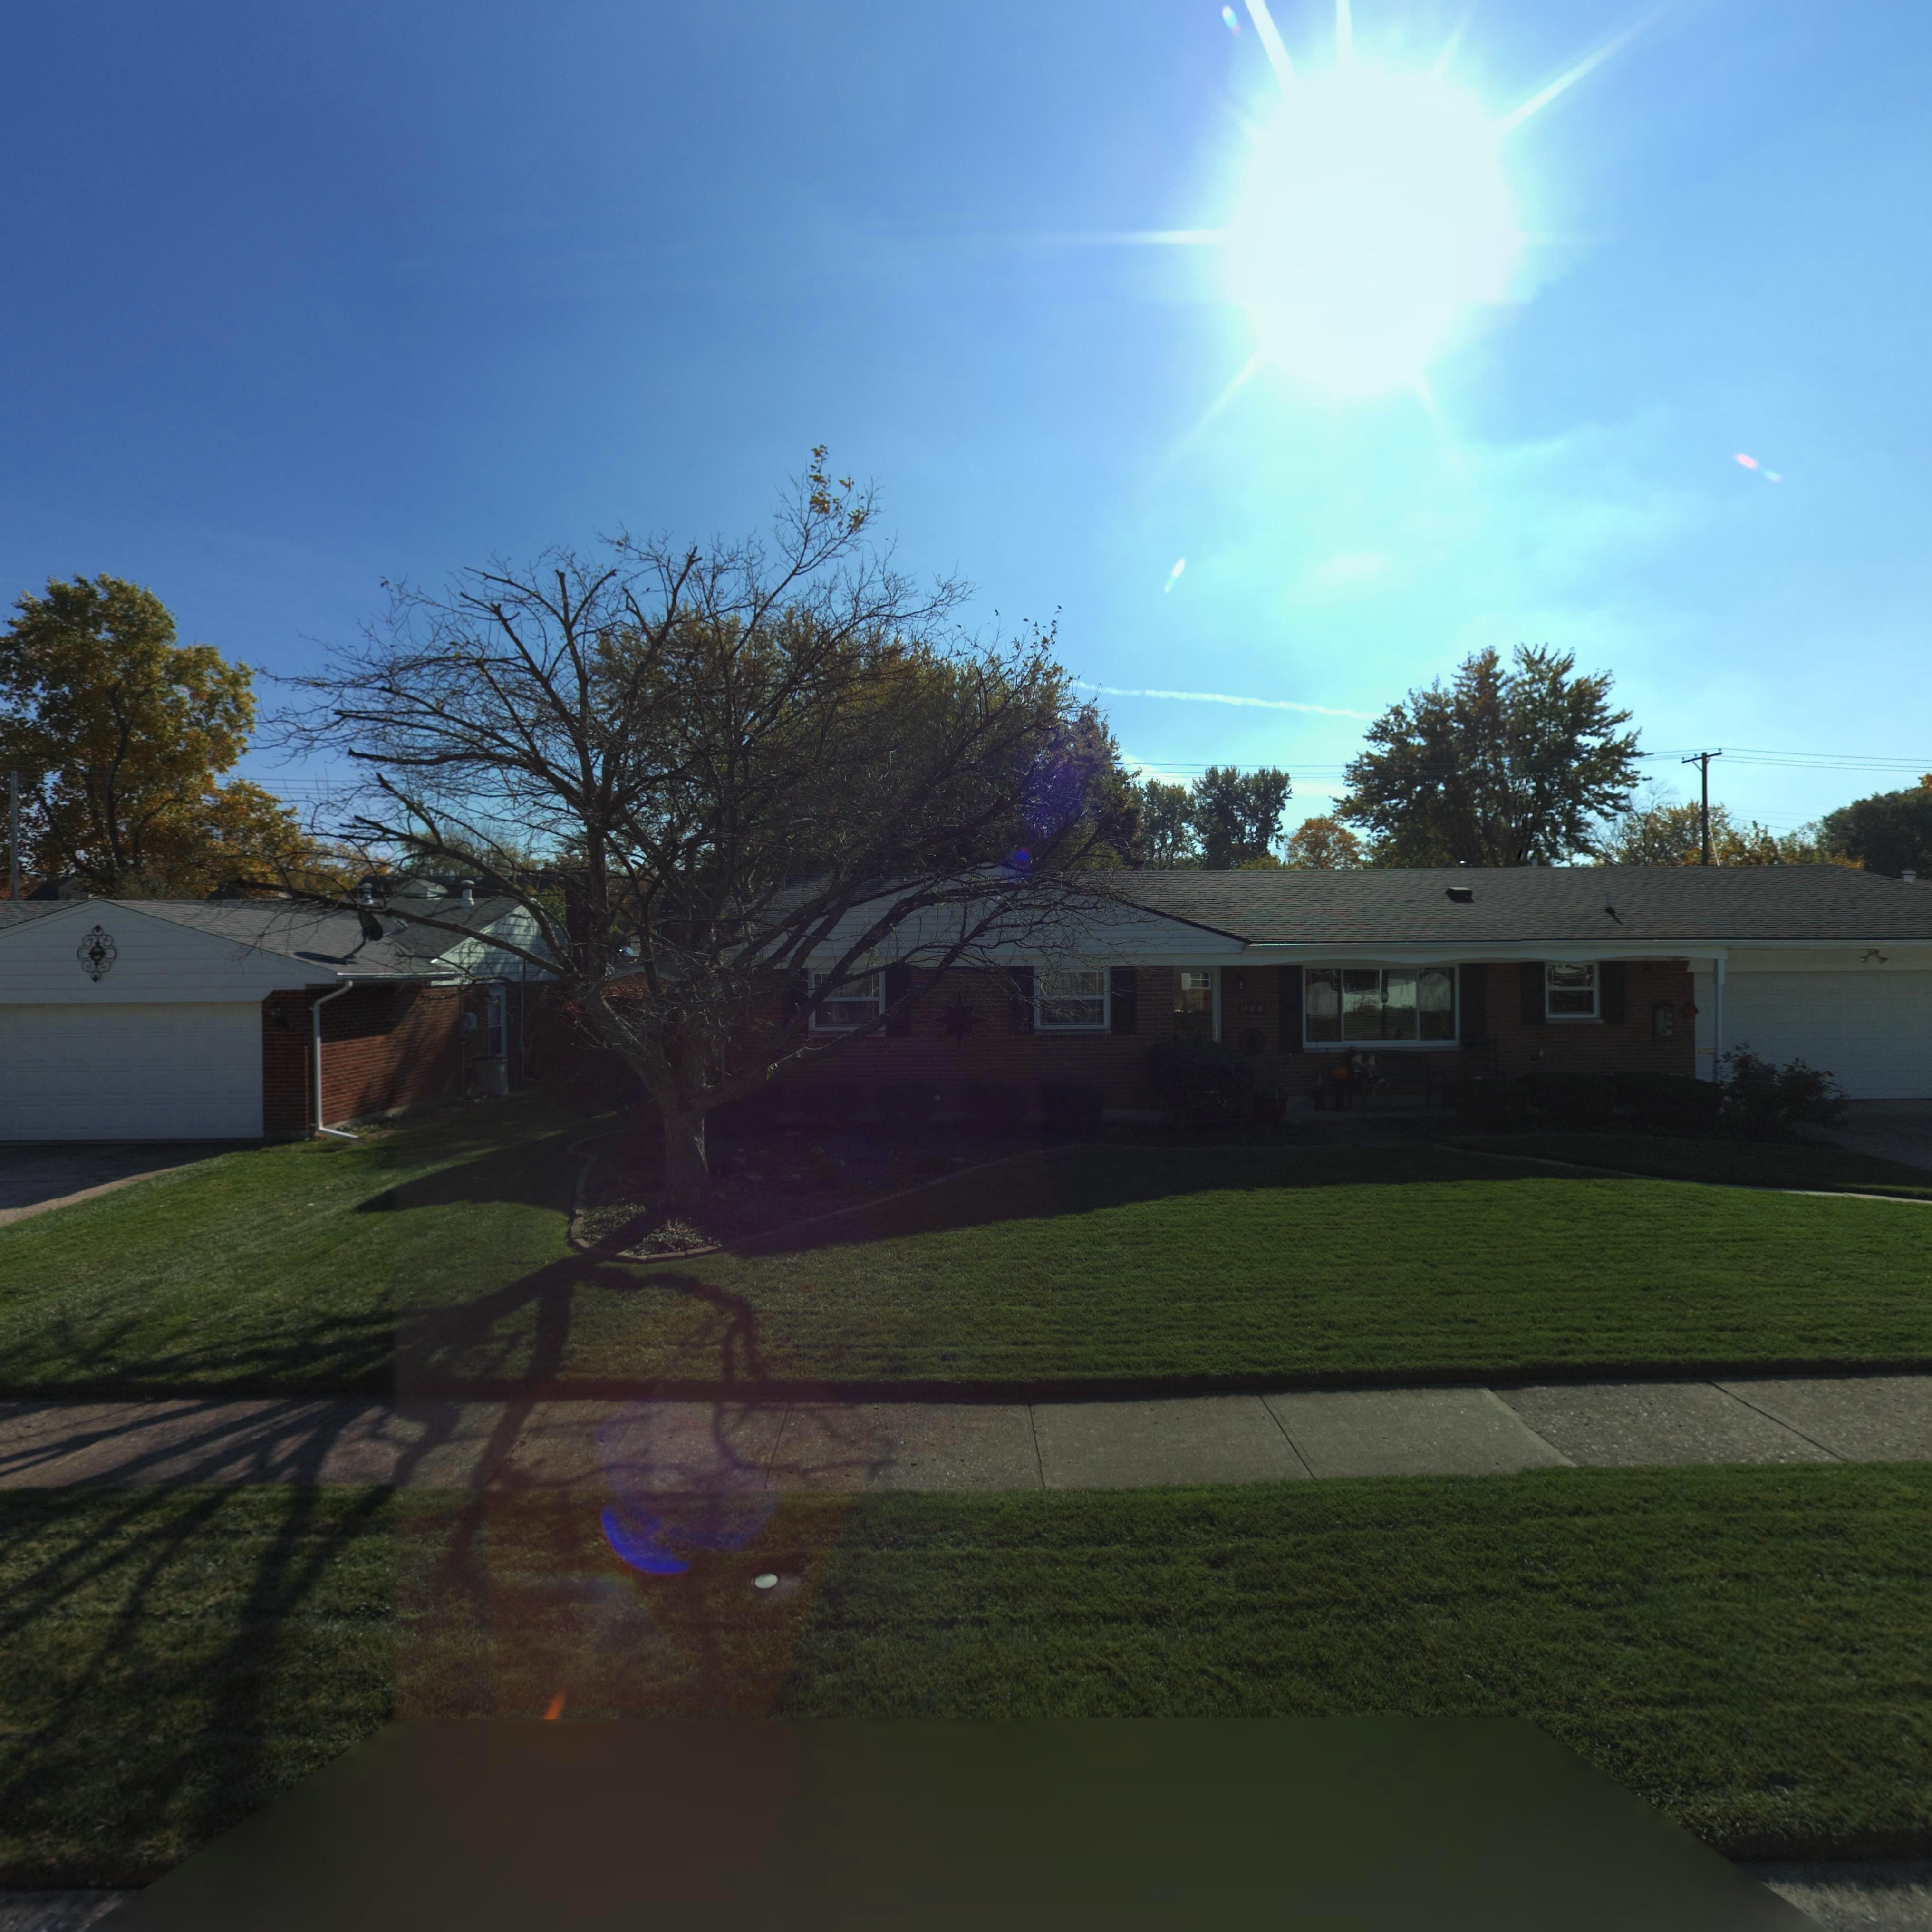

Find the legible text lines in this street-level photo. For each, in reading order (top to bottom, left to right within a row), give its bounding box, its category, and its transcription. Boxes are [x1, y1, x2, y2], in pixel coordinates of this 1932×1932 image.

[1240, 1003, 1265, 1014] StreetNumber: 944